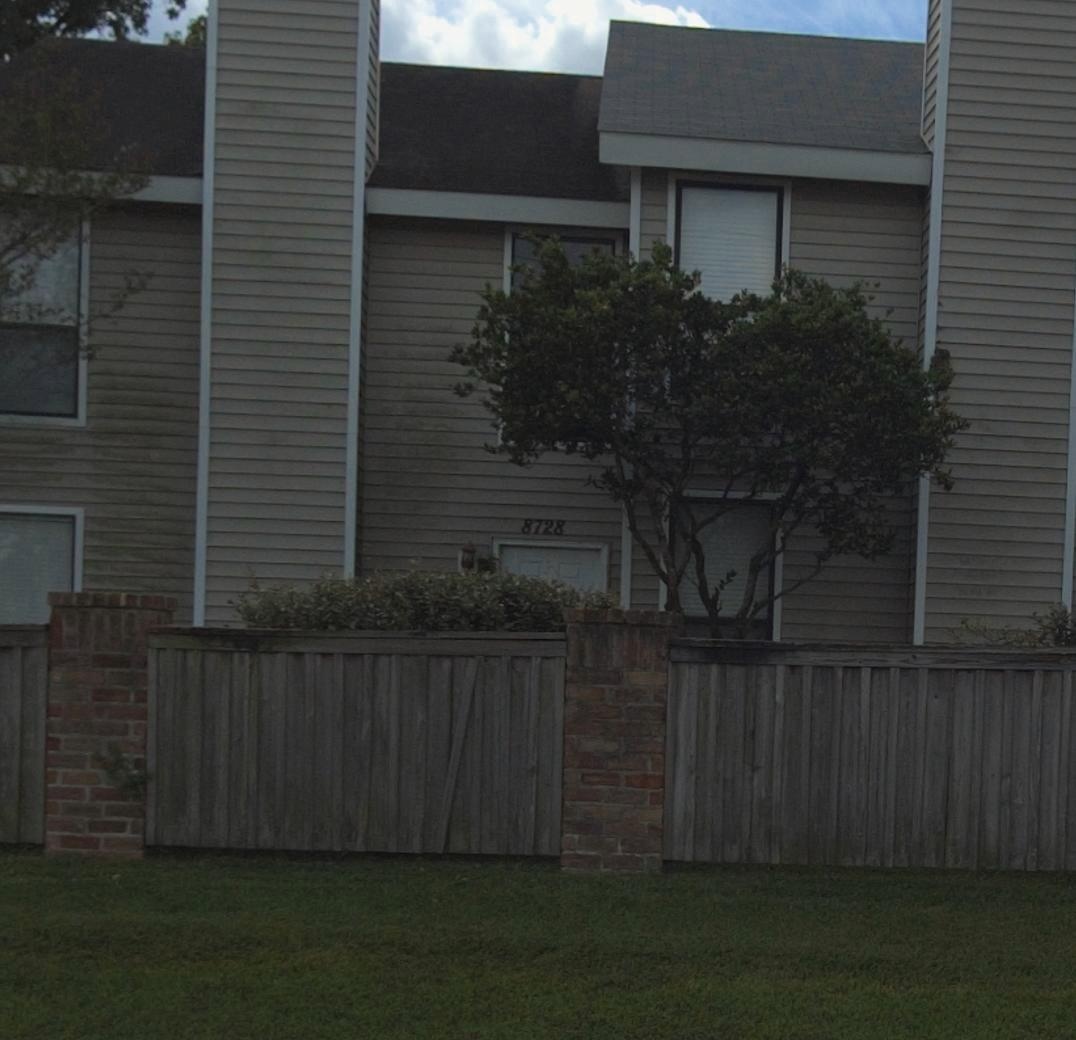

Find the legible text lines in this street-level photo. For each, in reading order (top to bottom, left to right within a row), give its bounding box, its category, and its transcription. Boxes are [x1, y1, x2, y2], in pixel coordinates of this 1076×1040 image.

[519, 517, 568, 538] StreetNumber: 8728